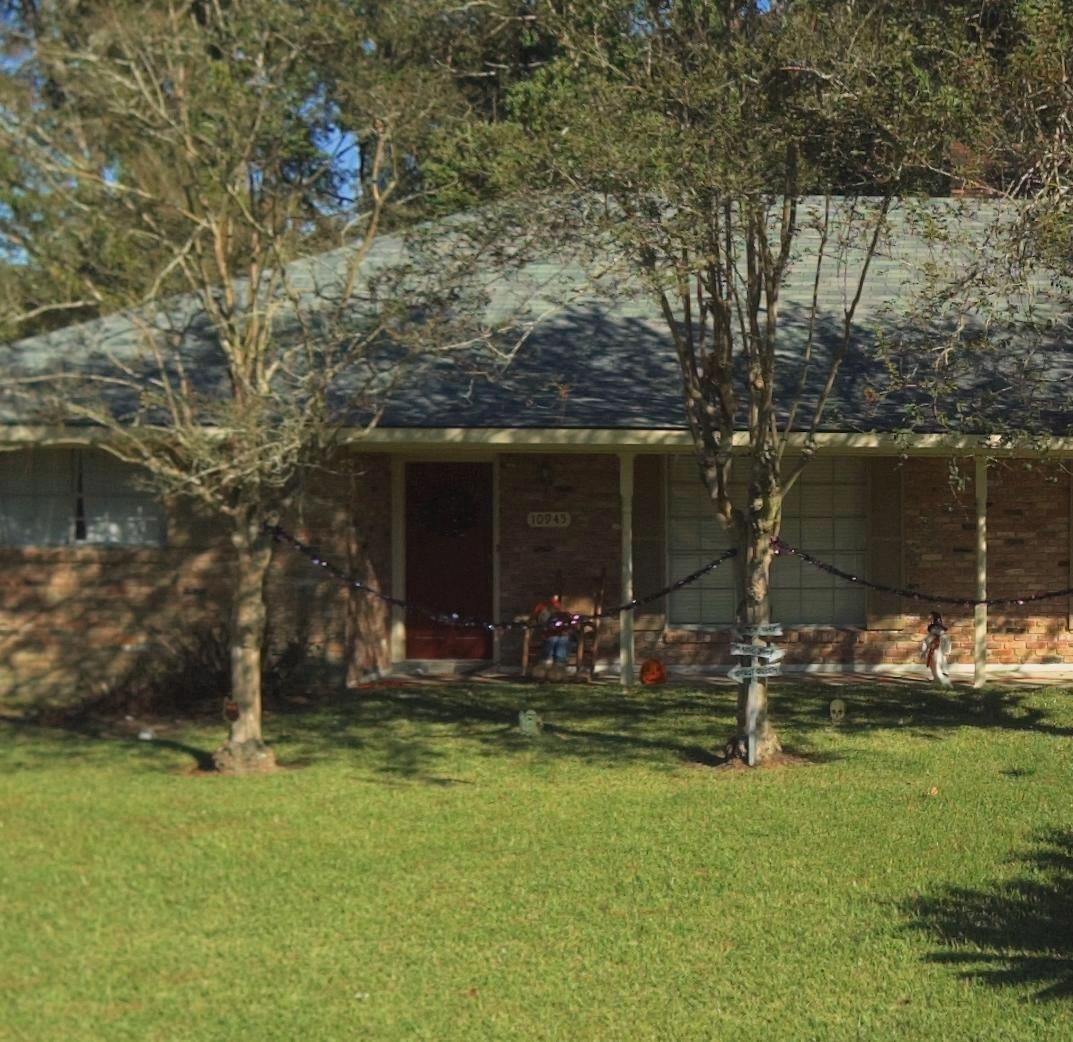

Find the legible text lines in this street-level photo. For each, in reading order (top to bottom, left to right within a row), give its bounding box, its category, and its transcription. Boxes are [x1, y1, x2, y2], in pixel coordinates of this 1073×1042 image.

[529, 511, 569, 527] StreetNumber: 10945